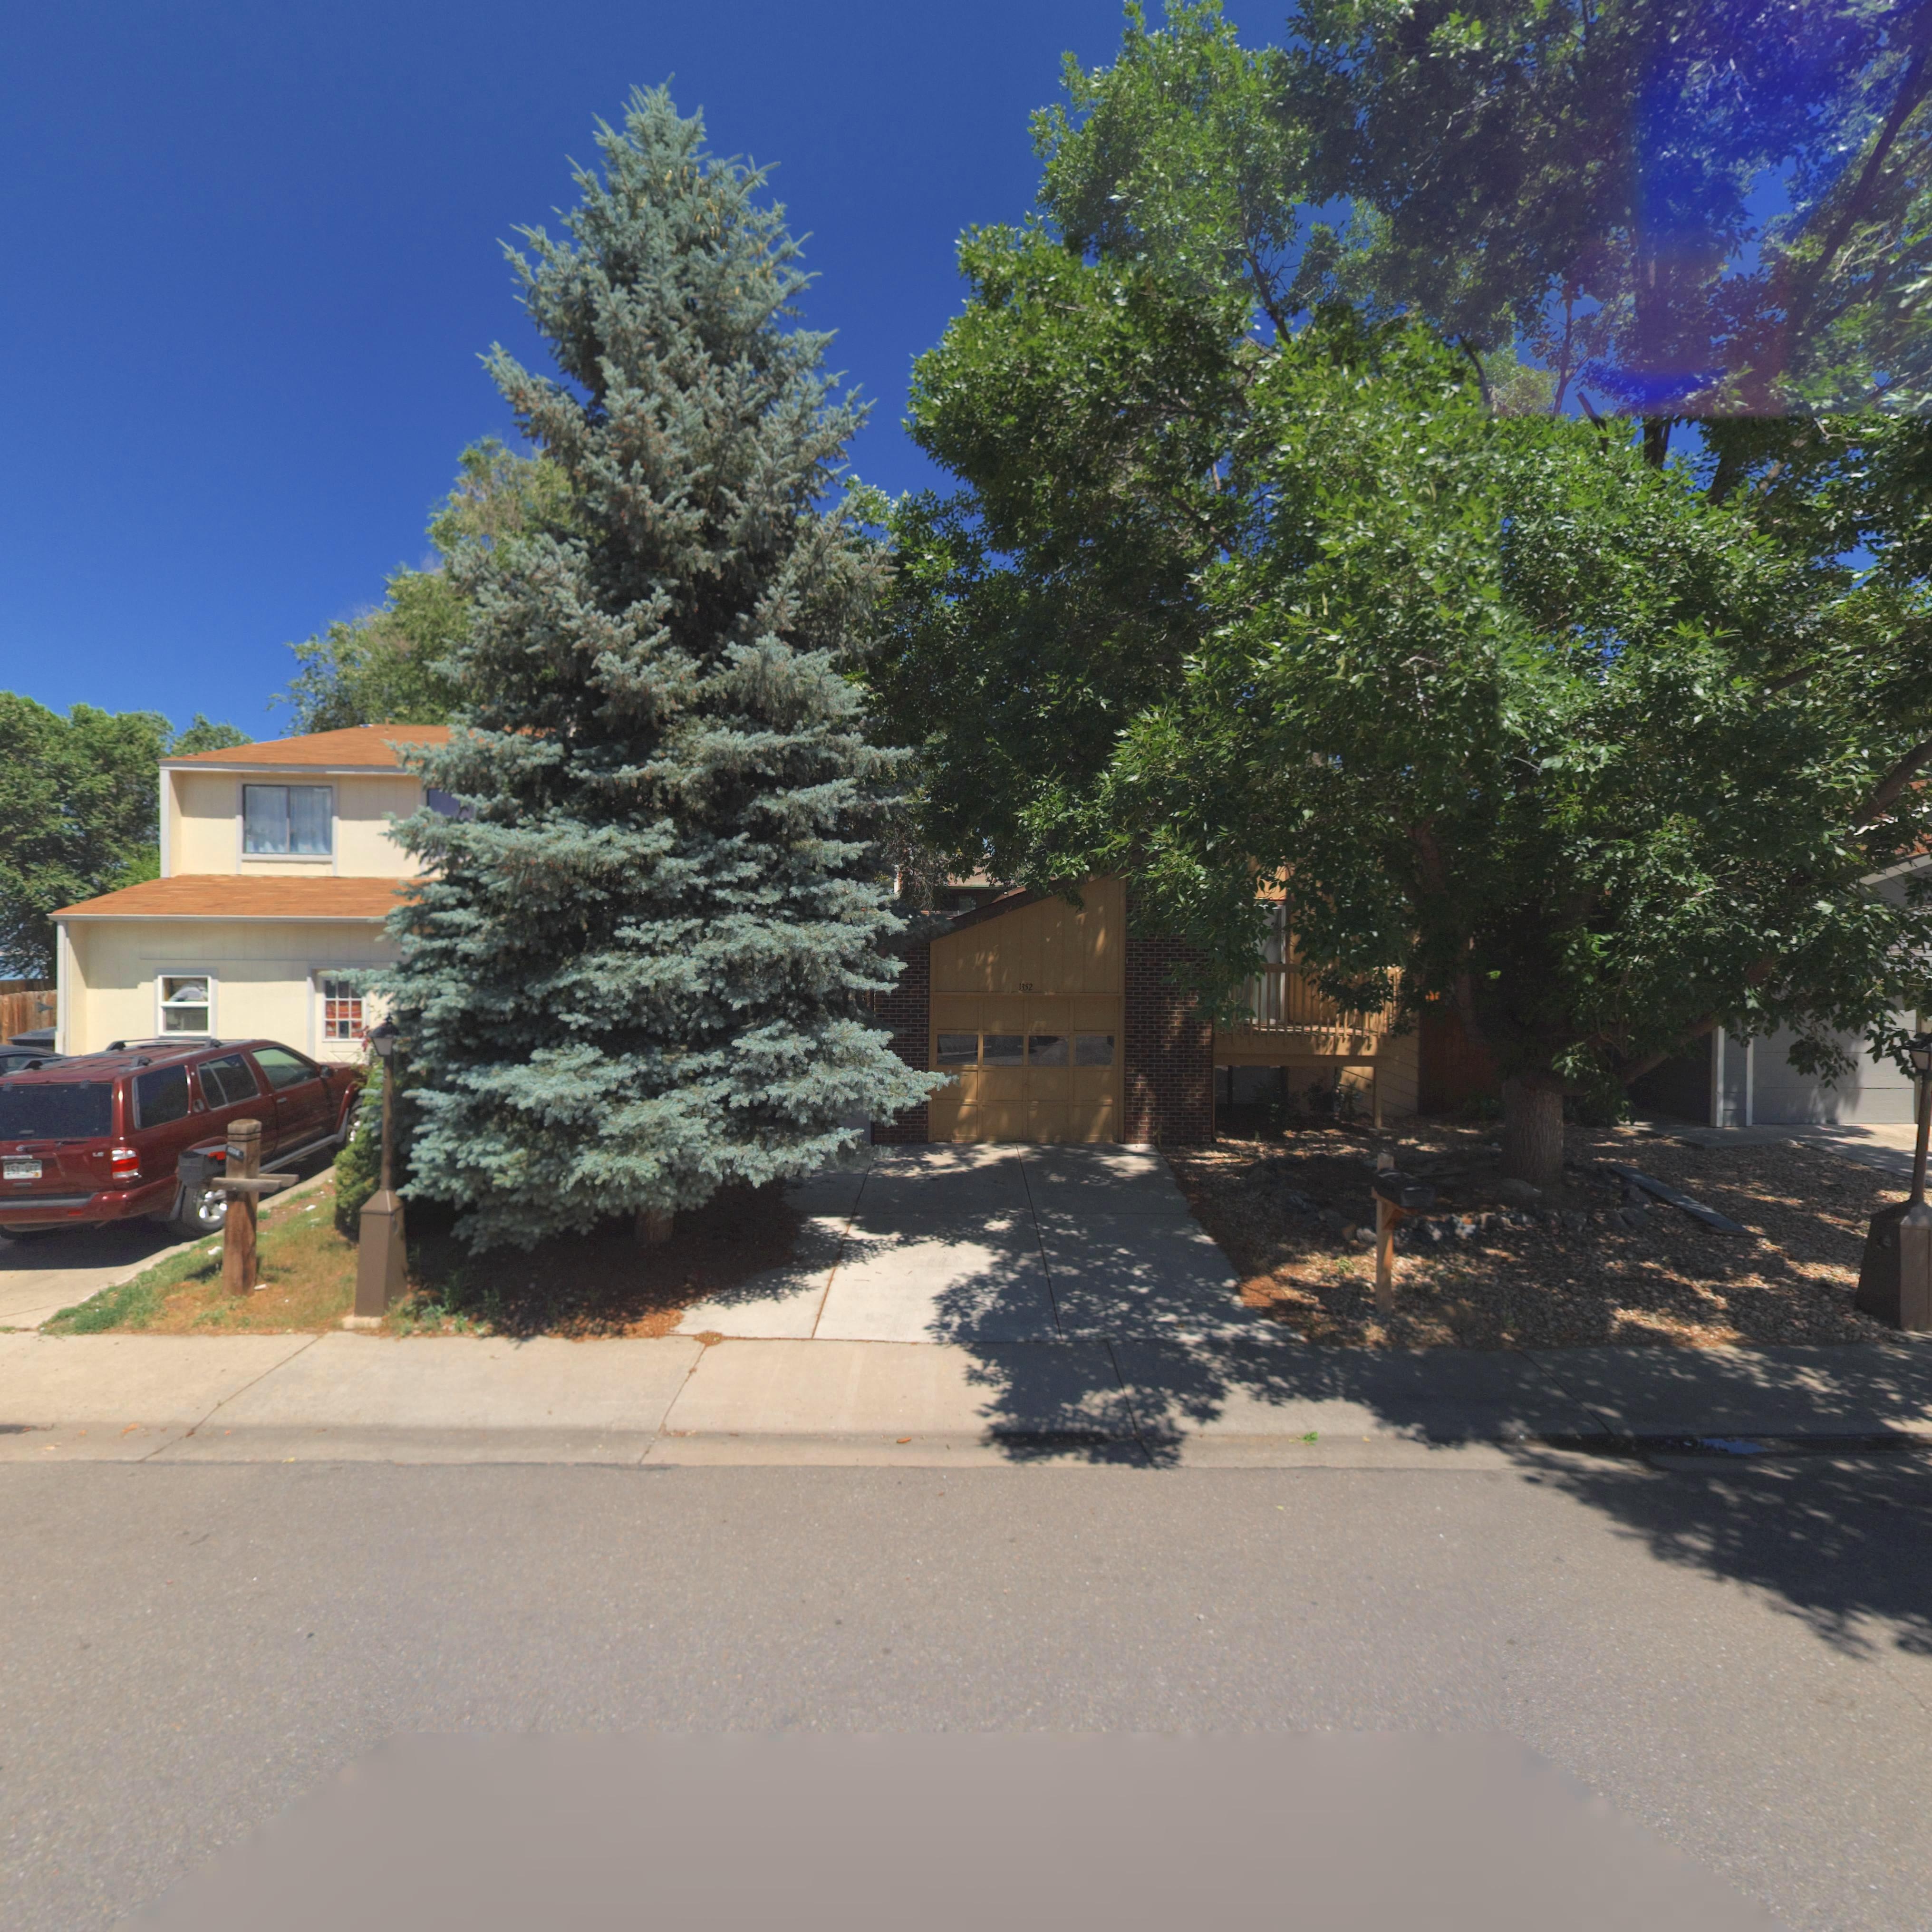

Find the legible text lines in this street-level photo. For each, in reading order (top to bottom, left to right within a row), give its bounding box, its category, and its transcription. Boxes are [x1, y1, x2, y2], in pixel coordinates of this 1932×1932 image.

[1018, 982, 1033, 991] StreetNumber: 1352
[227, 1145, 241, 1157] StreetNumber: 1356